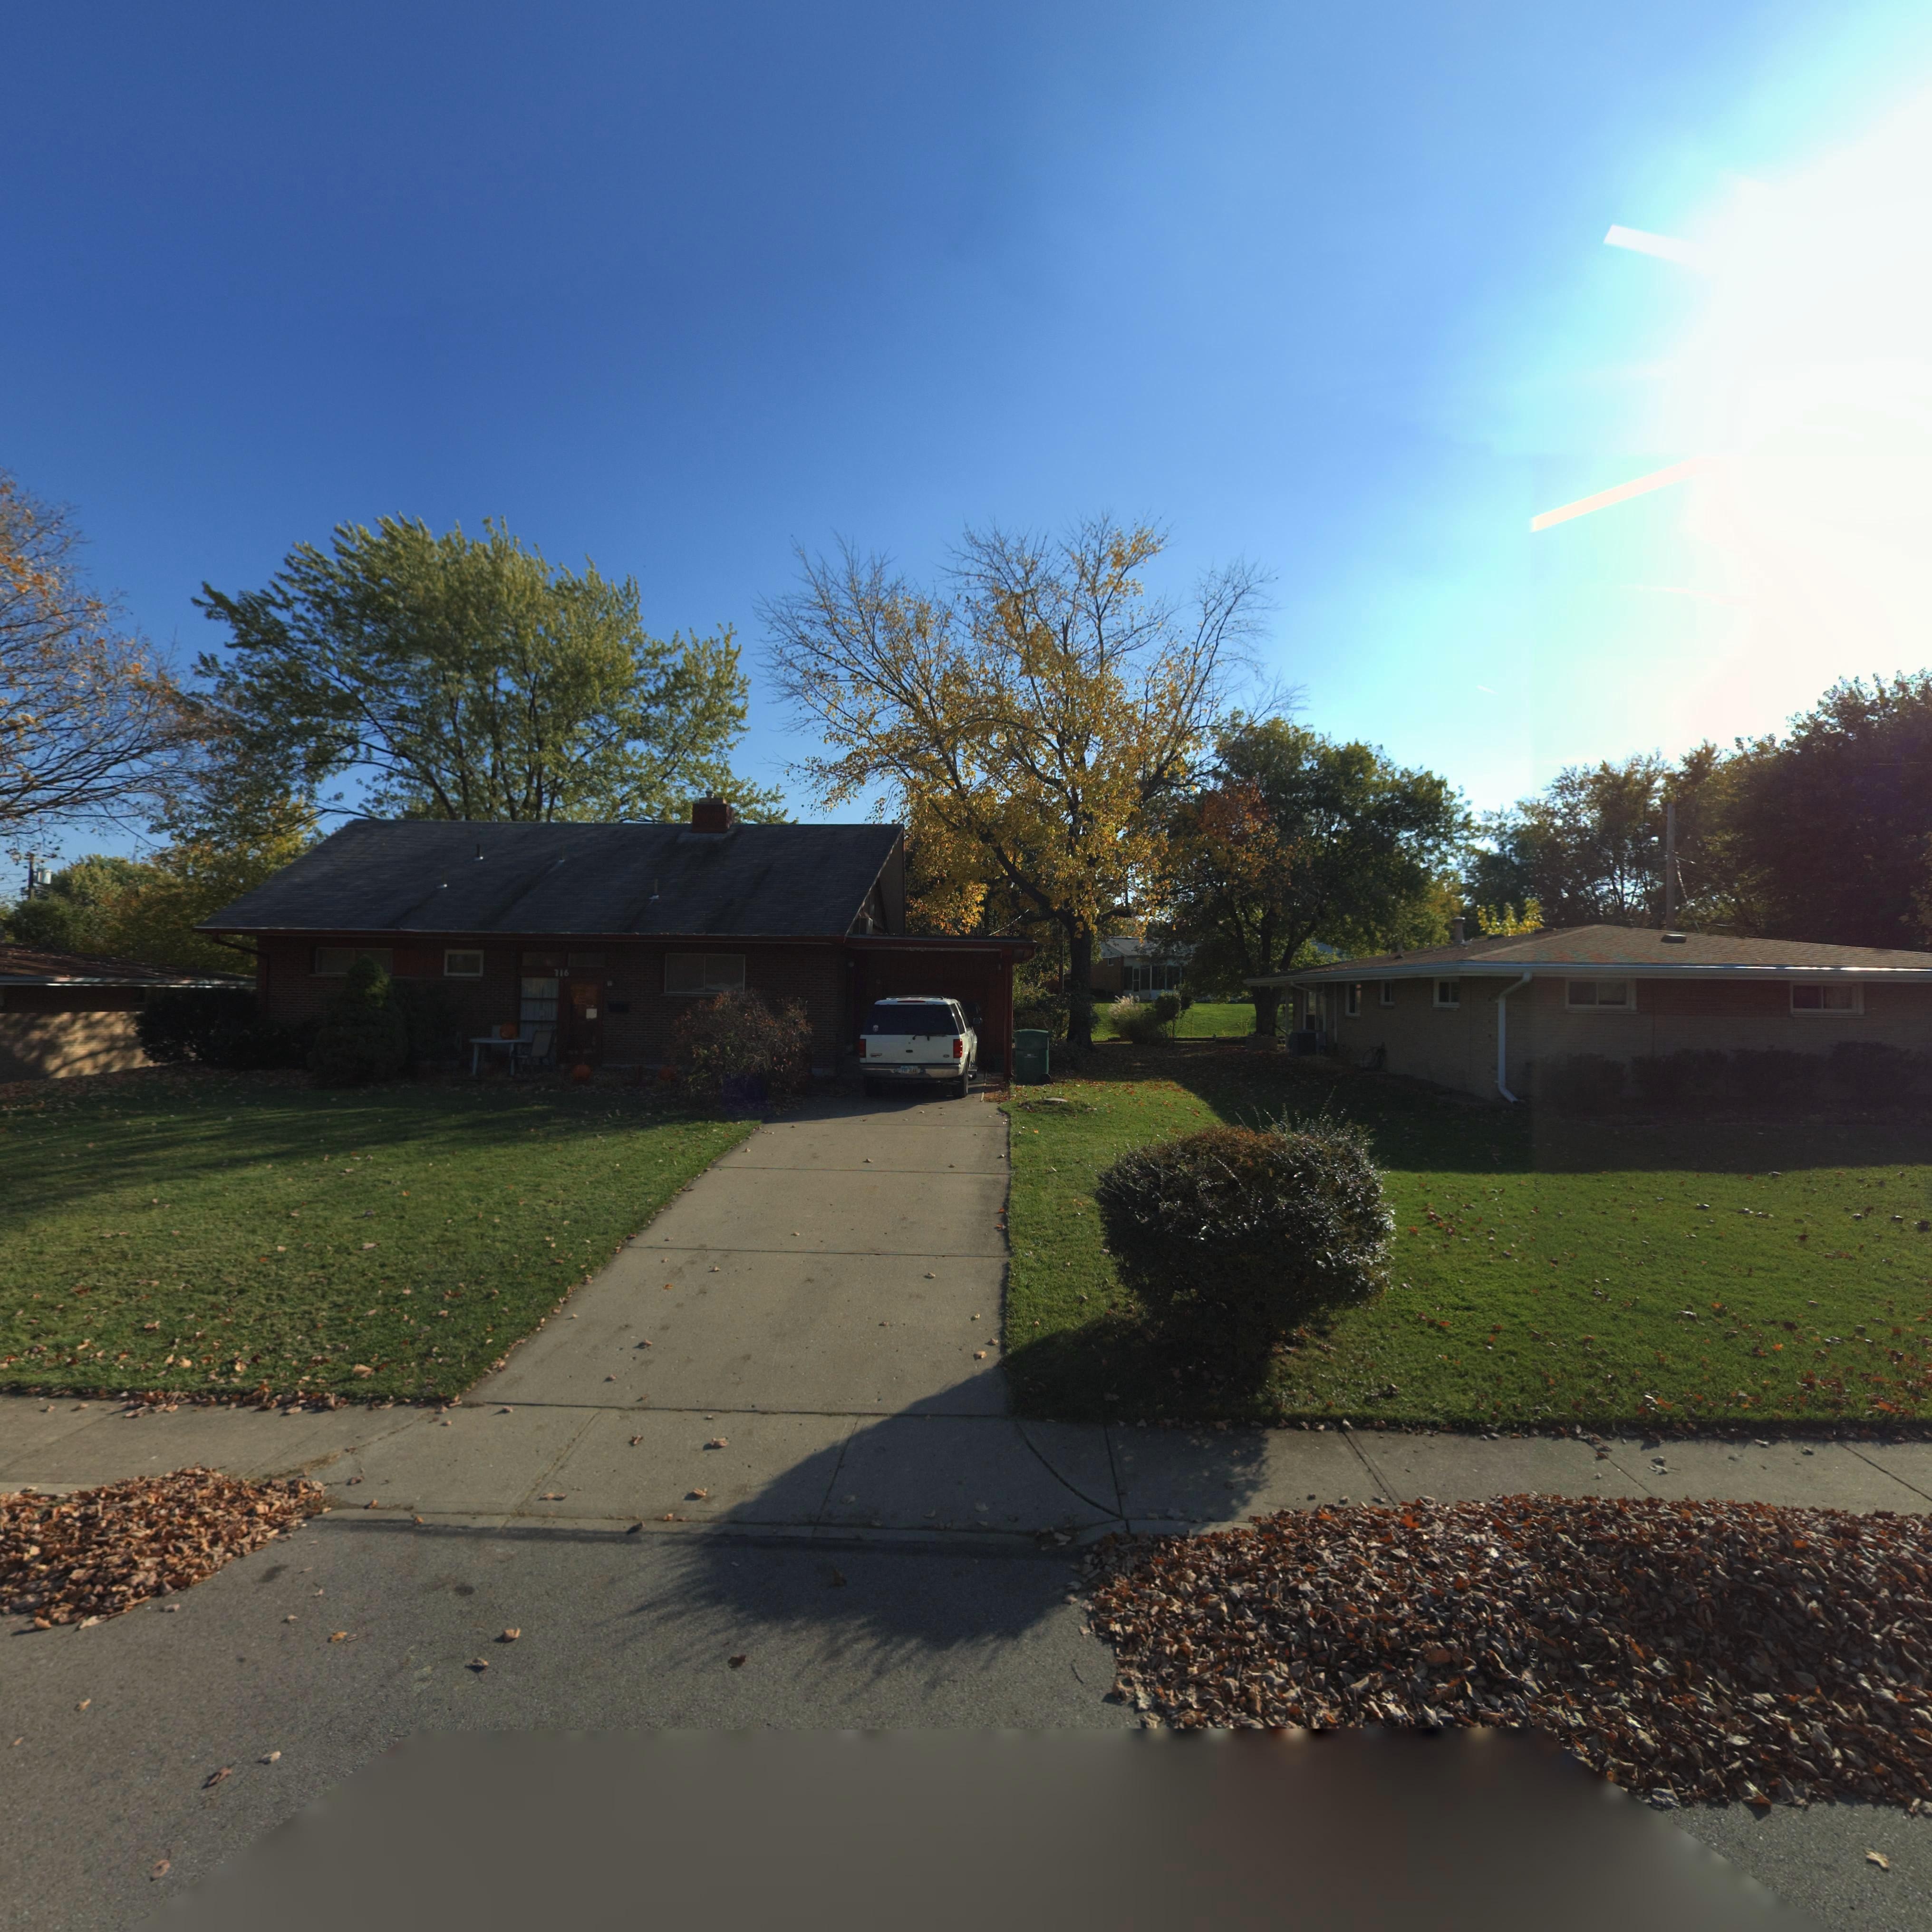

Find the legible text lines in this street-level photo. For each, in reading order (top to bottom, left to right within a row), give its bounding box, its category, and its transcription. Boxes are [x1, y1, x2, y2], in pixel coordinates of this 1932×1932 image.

[553, 968, 570, 977] StreetNumber: 716